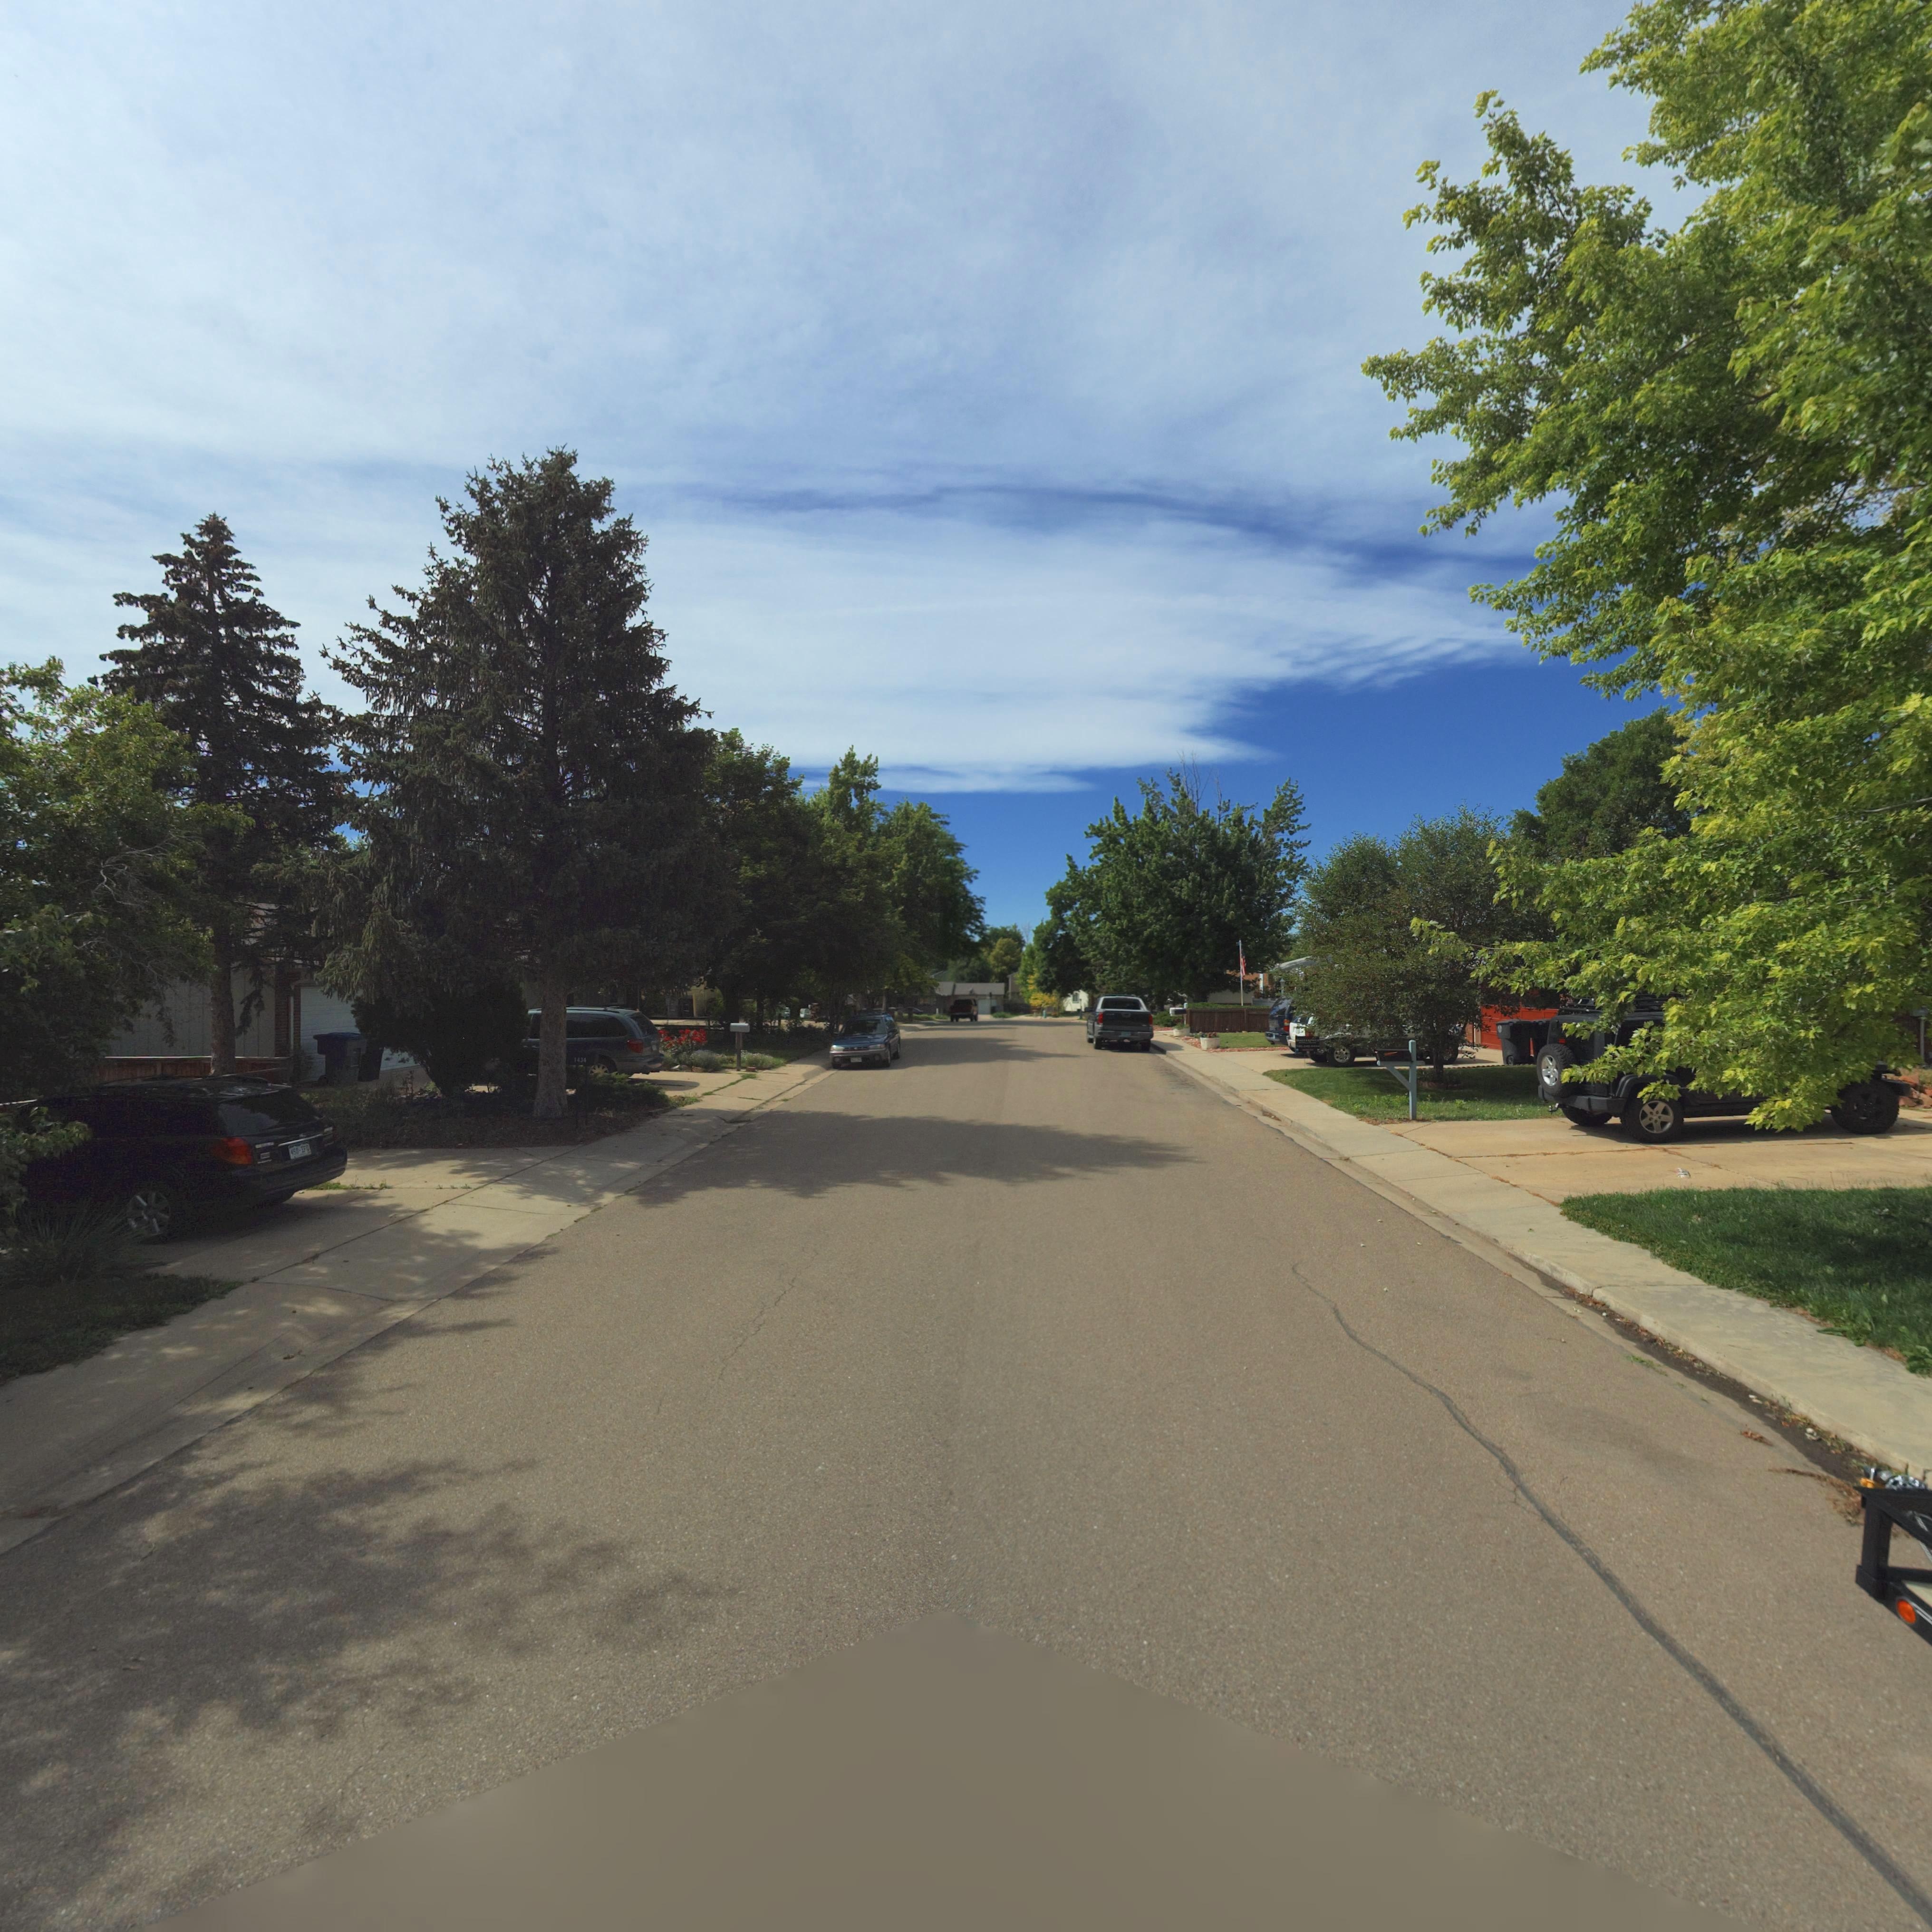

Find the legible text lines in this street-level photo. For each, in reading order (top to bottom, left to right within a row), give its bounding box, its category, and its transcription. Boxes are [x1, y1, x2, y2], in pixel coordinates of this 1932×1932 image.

[574, 1057, 586, 1063] StreetNumber: 1434